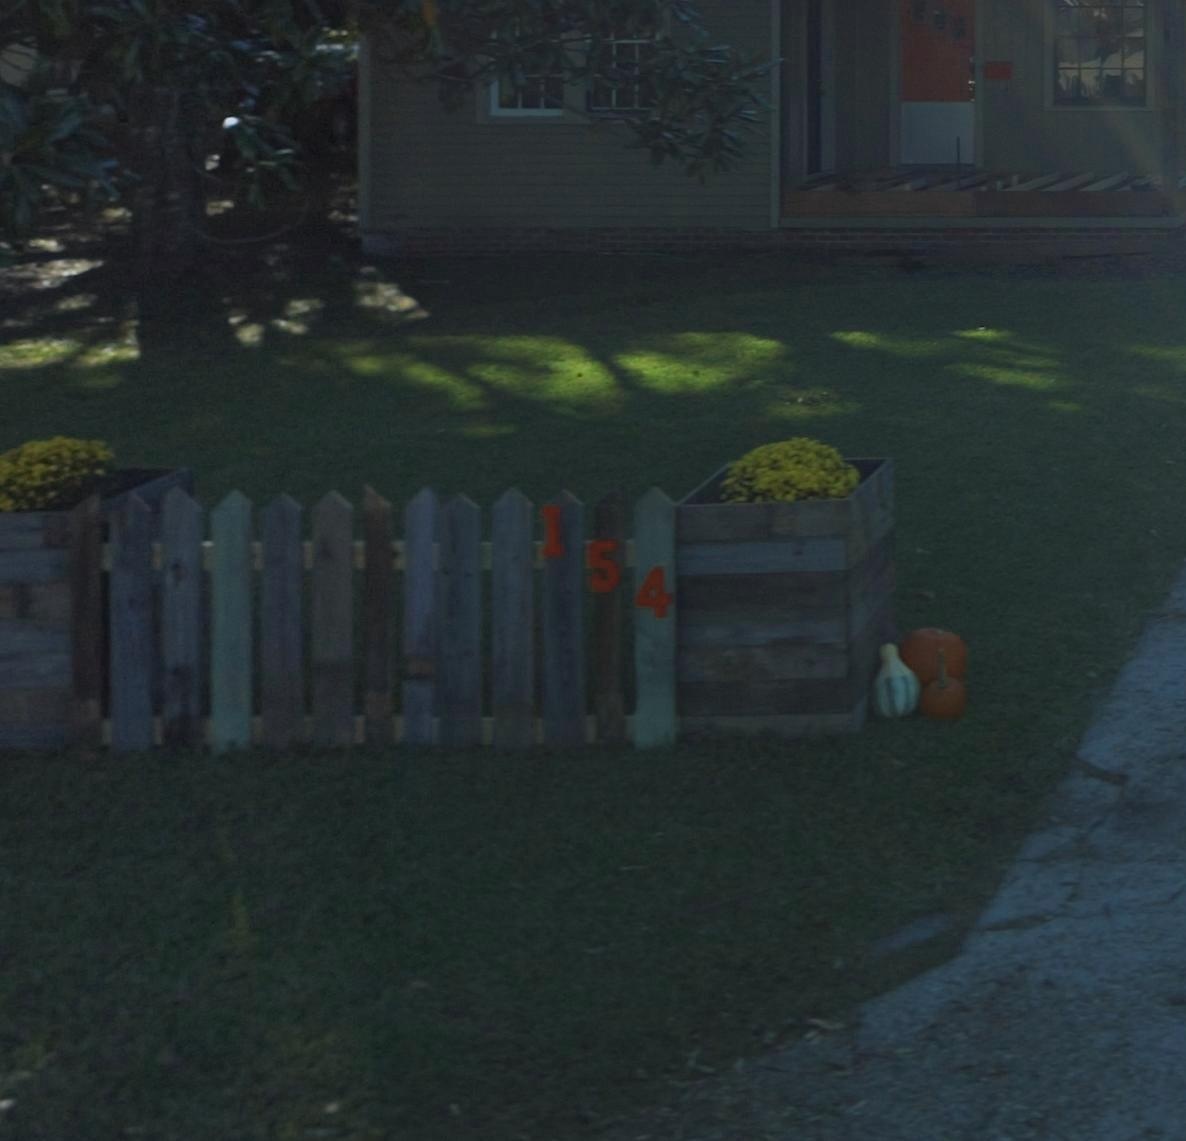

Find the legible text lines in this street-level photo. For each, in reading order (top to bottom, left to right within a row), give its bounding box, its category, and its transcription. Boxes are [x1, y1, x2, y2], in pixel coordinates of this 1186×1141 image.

[537, 501, 678, 622] StreetNumber: 154